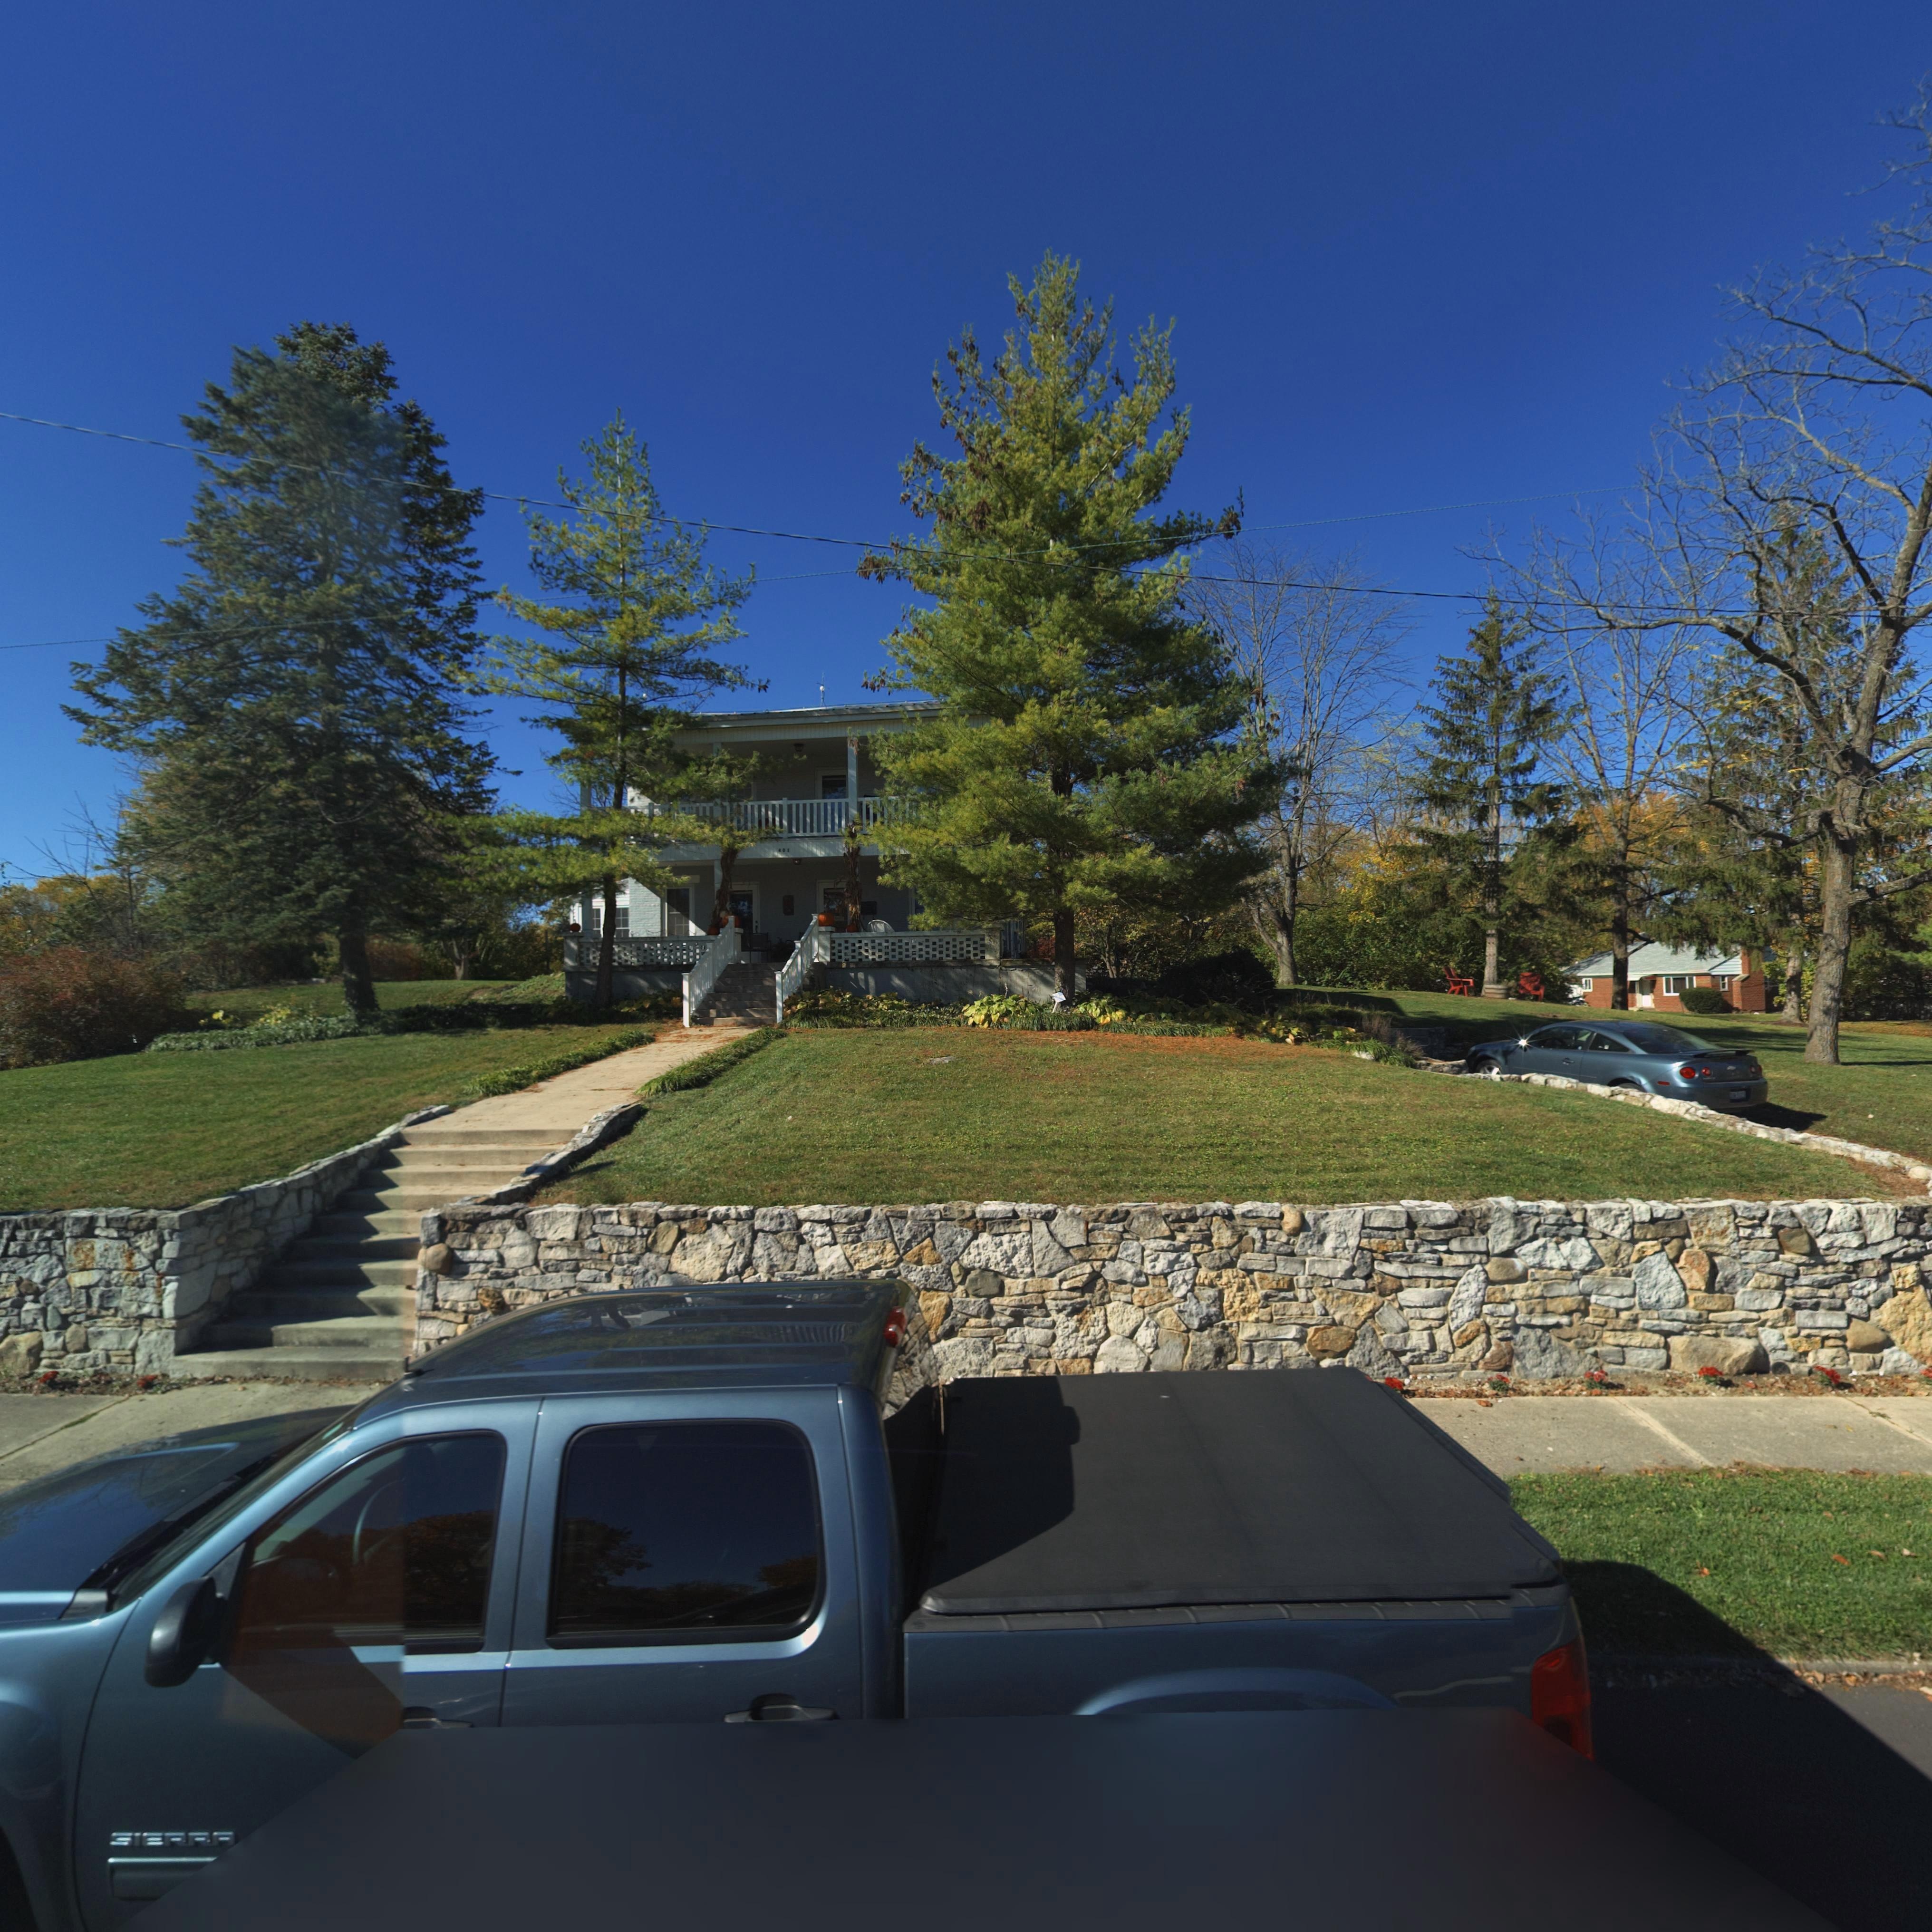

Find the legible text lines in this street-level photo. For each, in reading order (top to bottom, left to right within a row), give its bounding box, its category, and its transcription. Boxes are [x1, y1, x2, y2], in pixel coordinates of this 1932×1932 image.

[778, 848, 789, 852] StreetNumber: 401
[106, 1829, 238, 1849] None: SIERRA